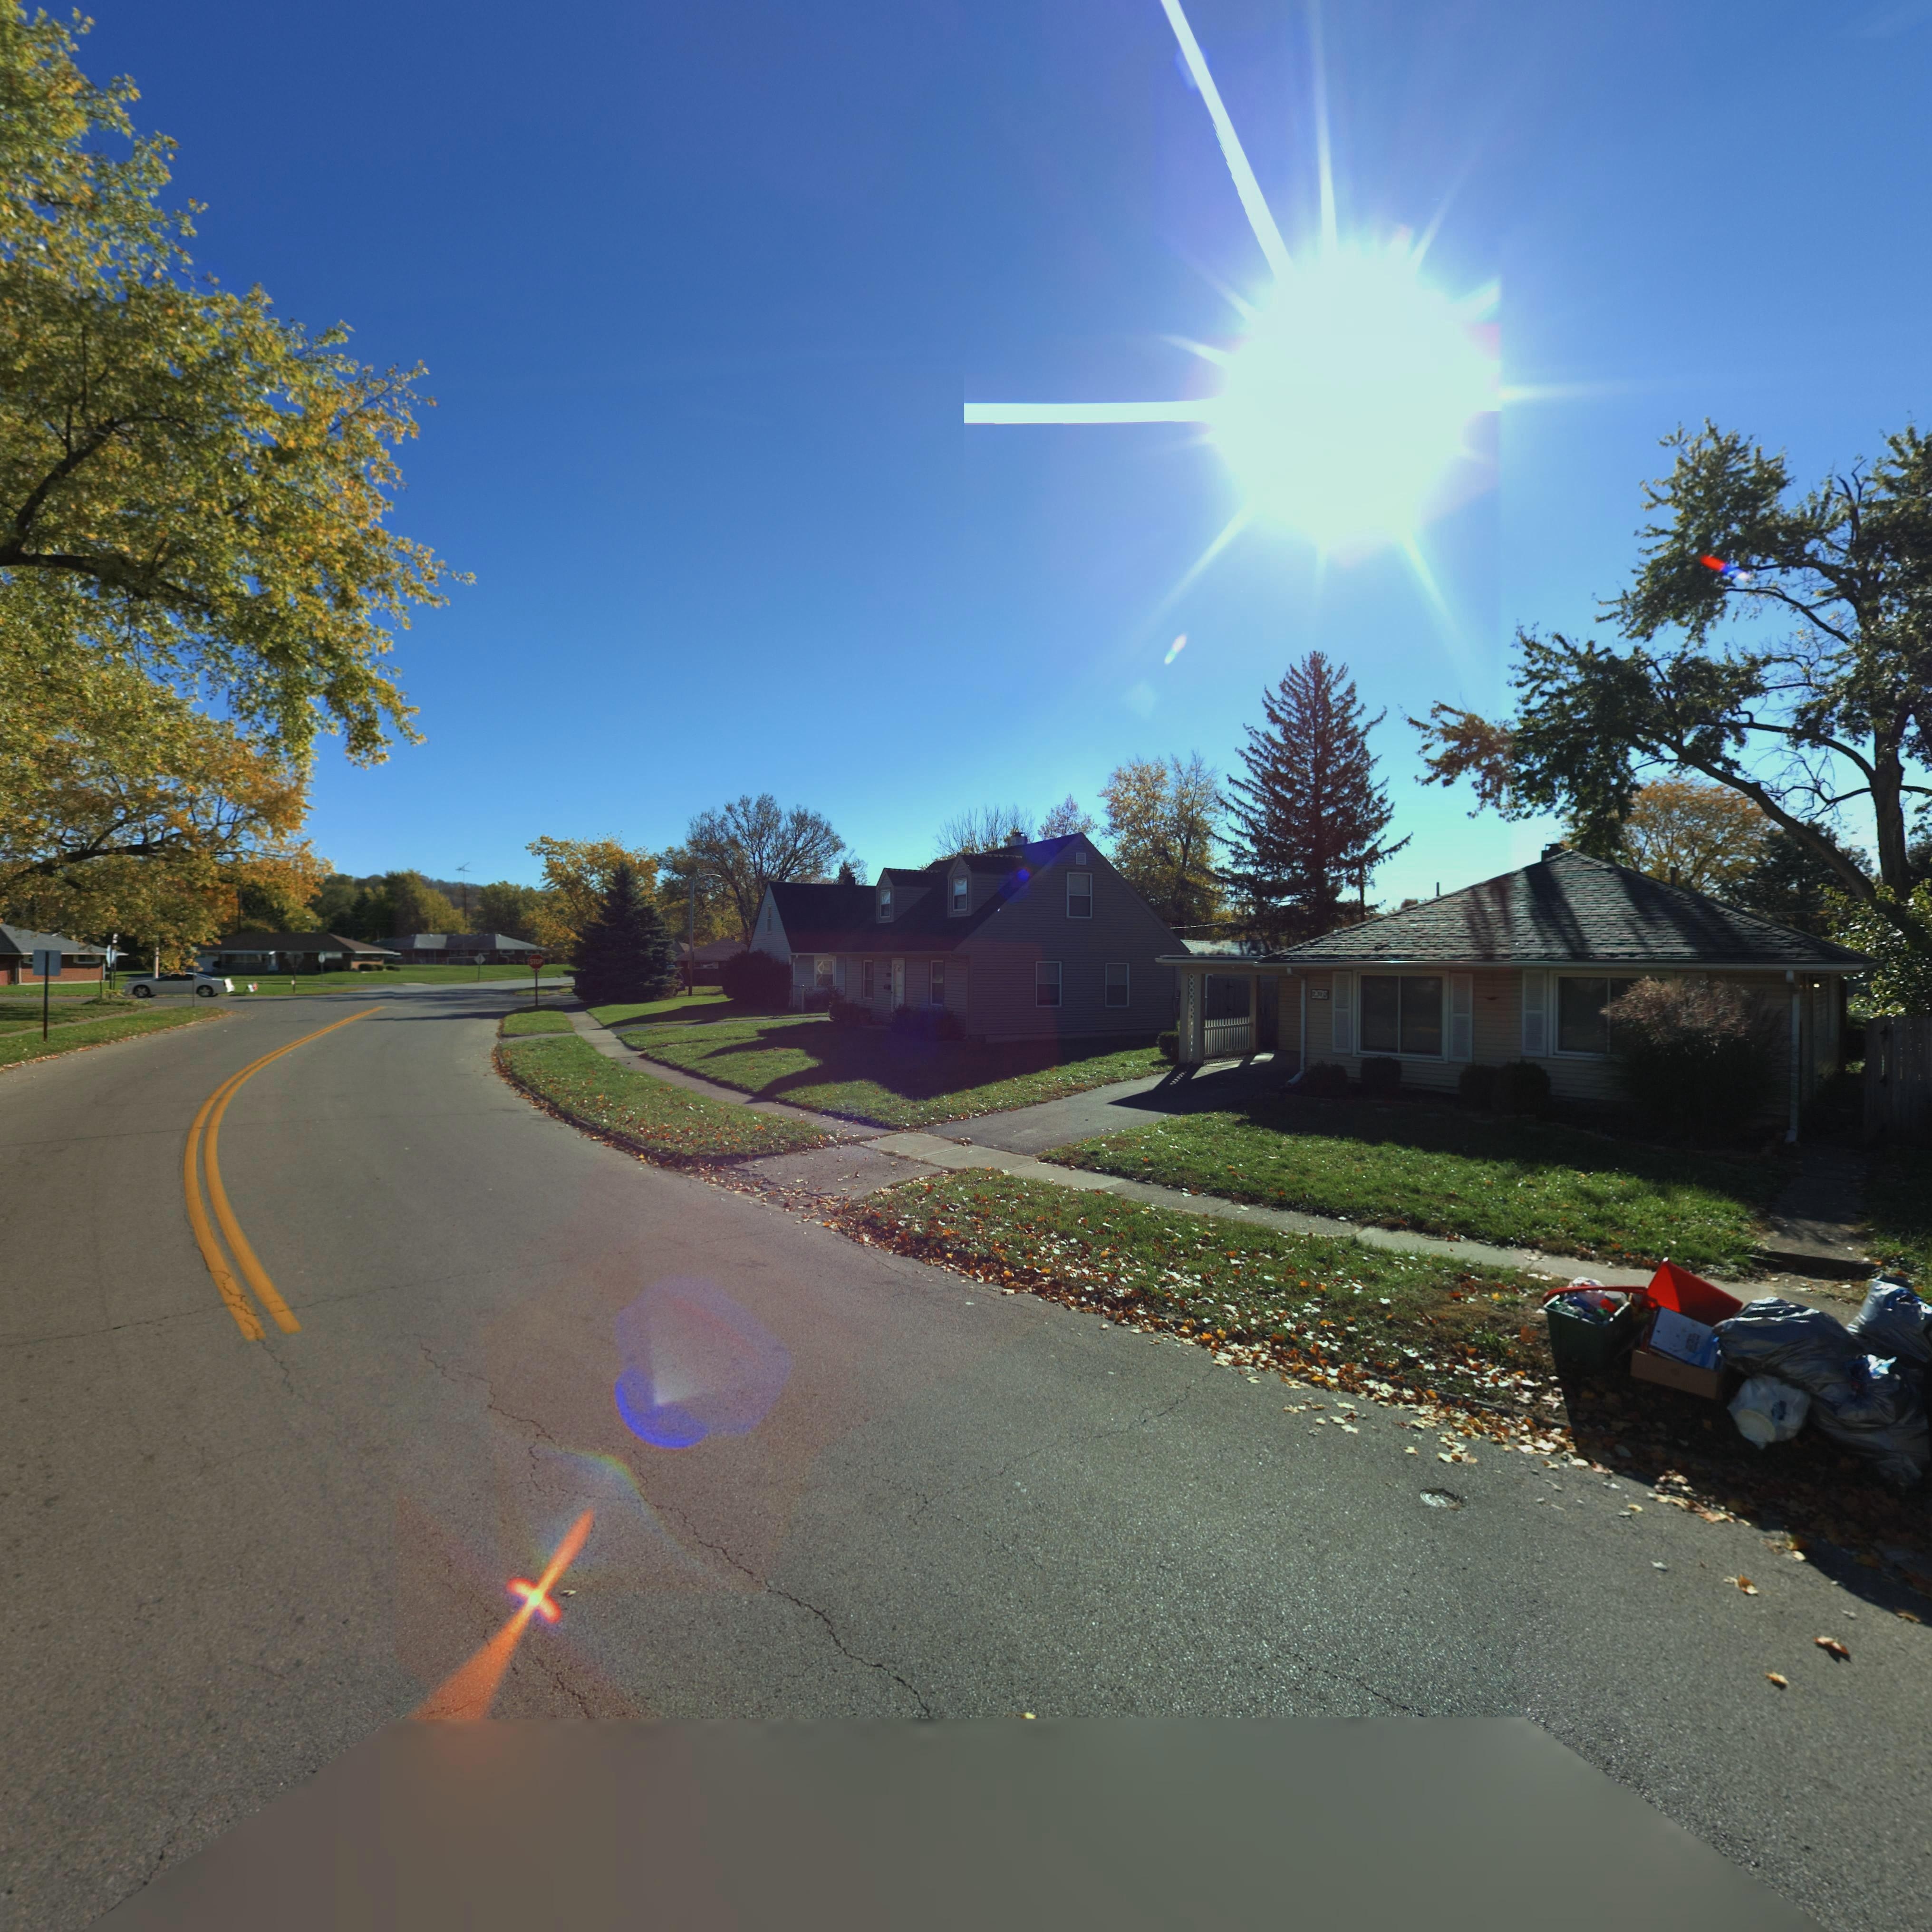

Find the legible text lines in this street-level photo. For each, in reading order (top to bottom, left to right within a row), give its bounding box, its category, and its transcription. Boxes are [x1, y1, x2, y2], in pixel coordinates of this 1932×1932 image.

[1312, 991, 1328, 998] StreetNumber: 2310